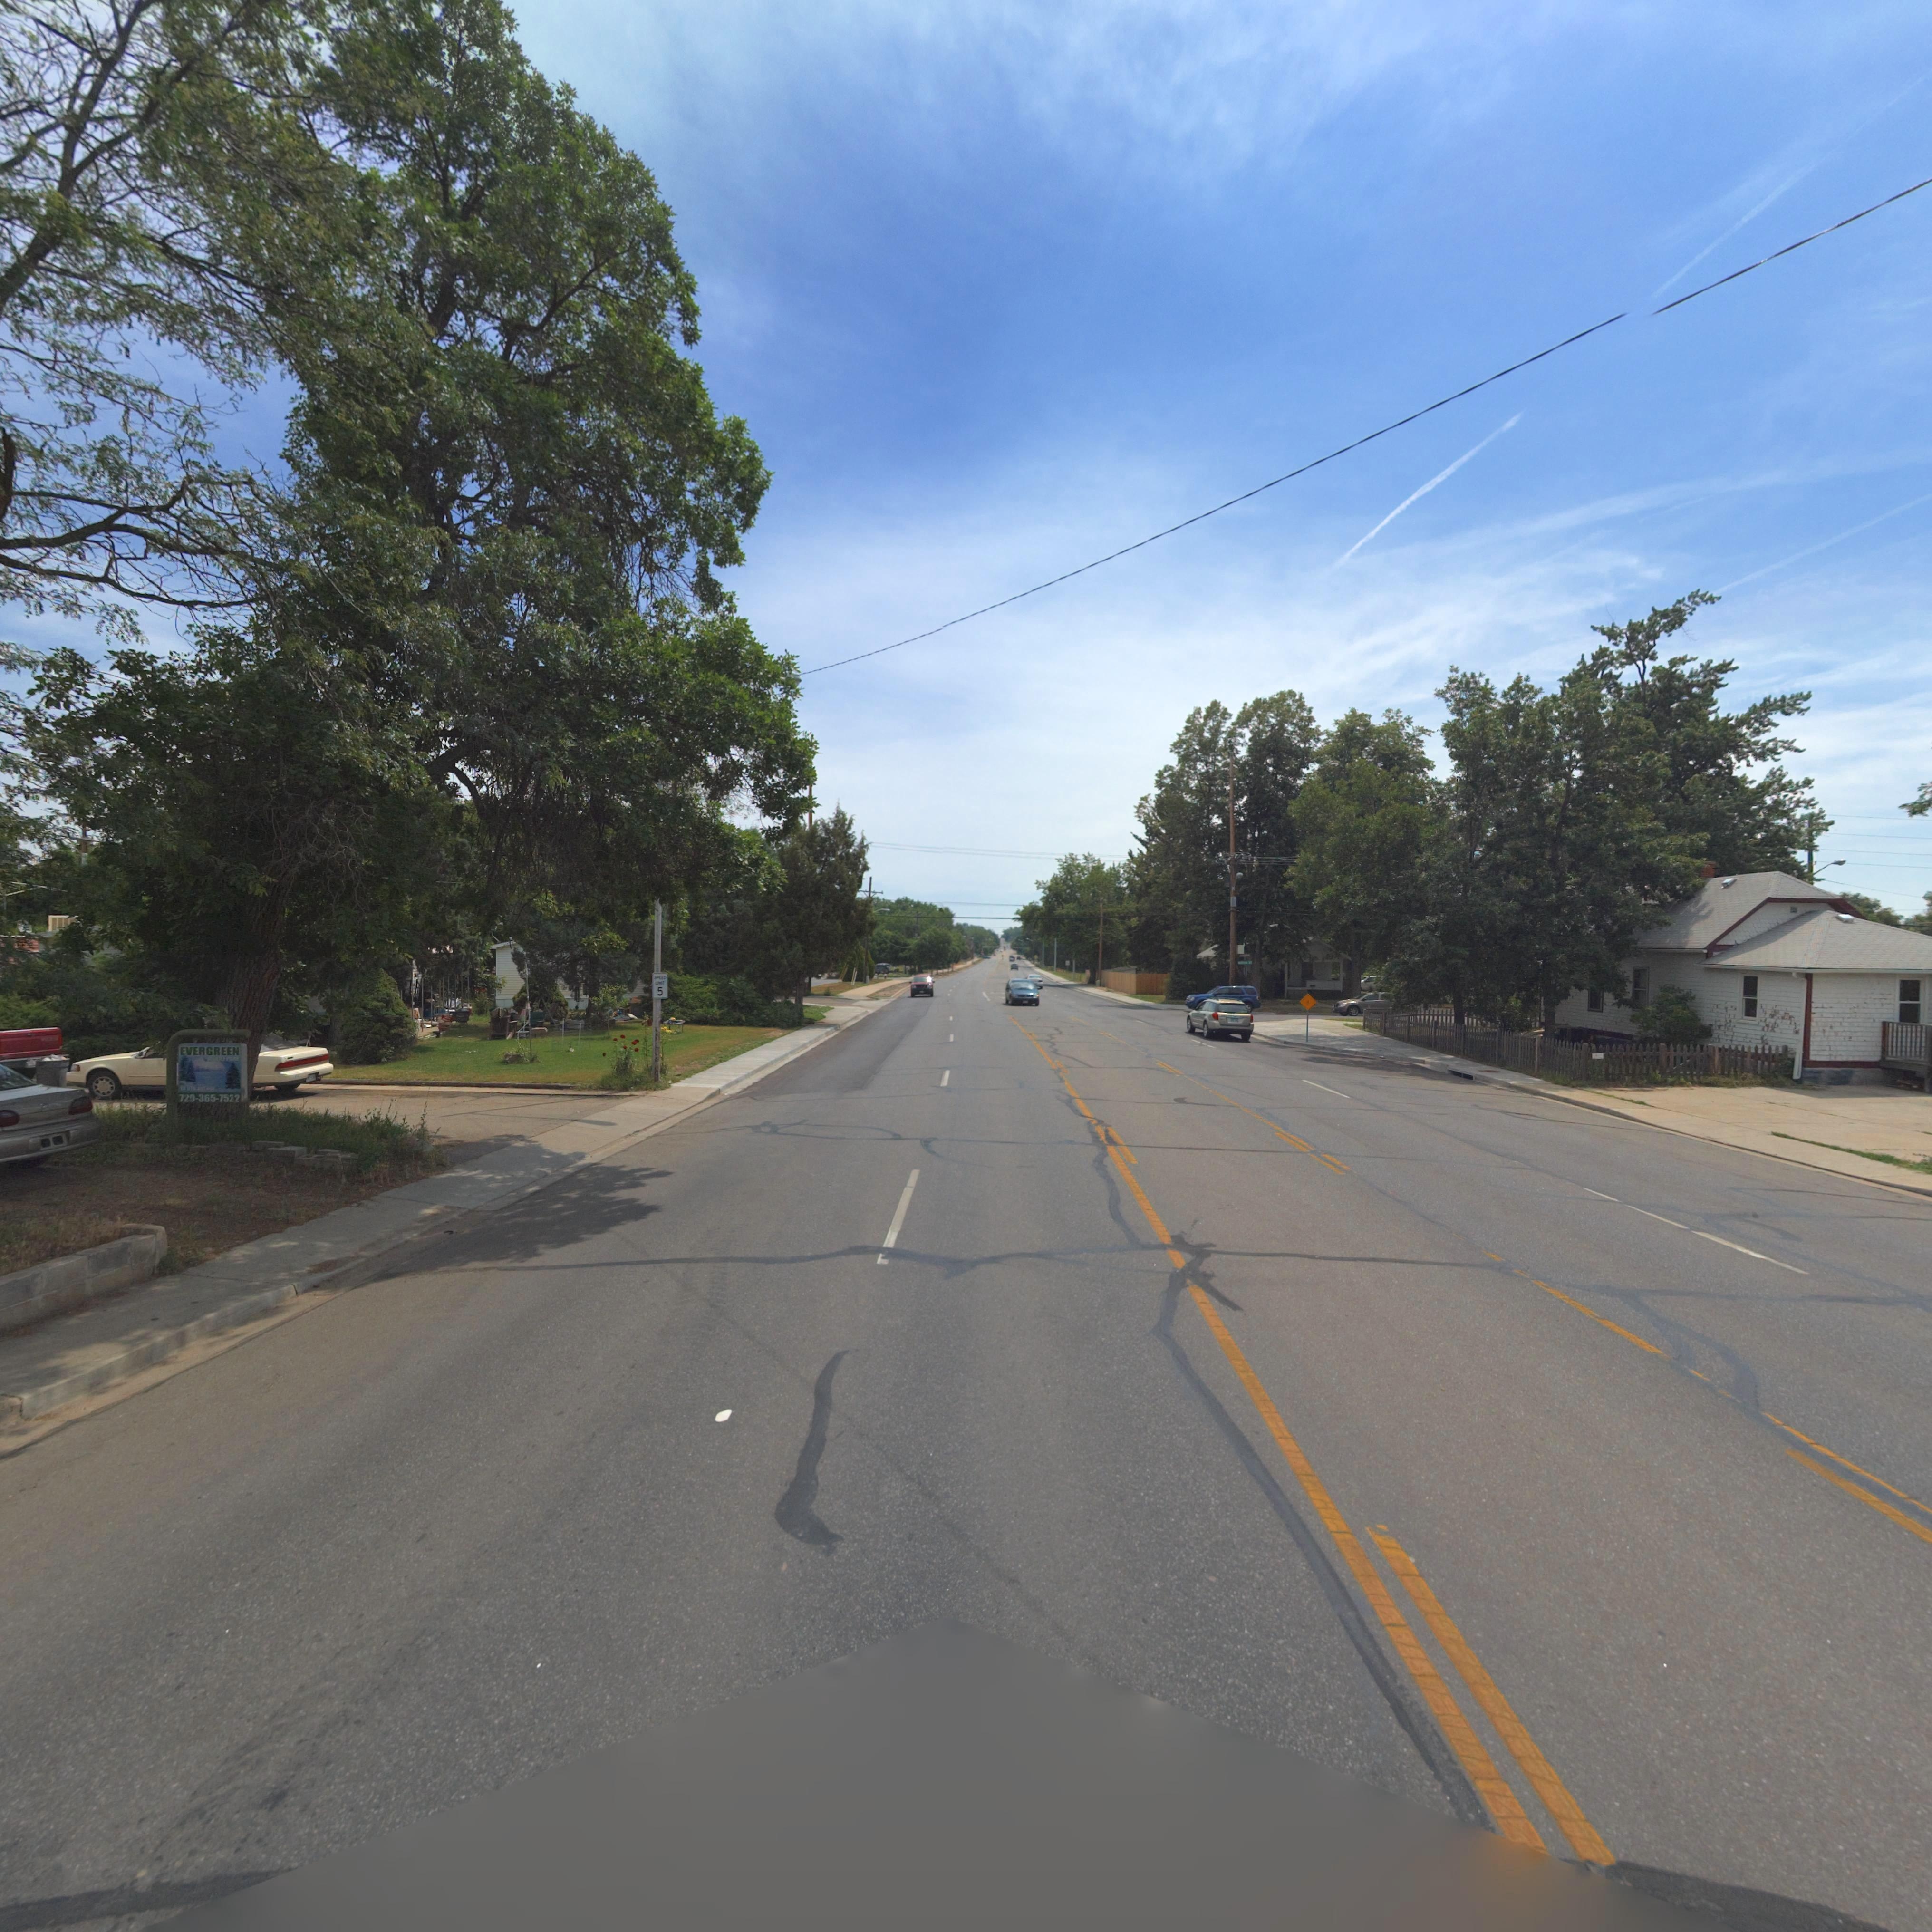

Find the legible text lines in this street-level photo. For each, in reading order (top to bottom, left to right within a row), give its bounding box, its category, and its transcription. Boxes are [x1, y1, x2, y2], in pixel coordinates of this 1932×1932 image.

[179, 1046, 240, 1056] BusinessName: EVERGREEN